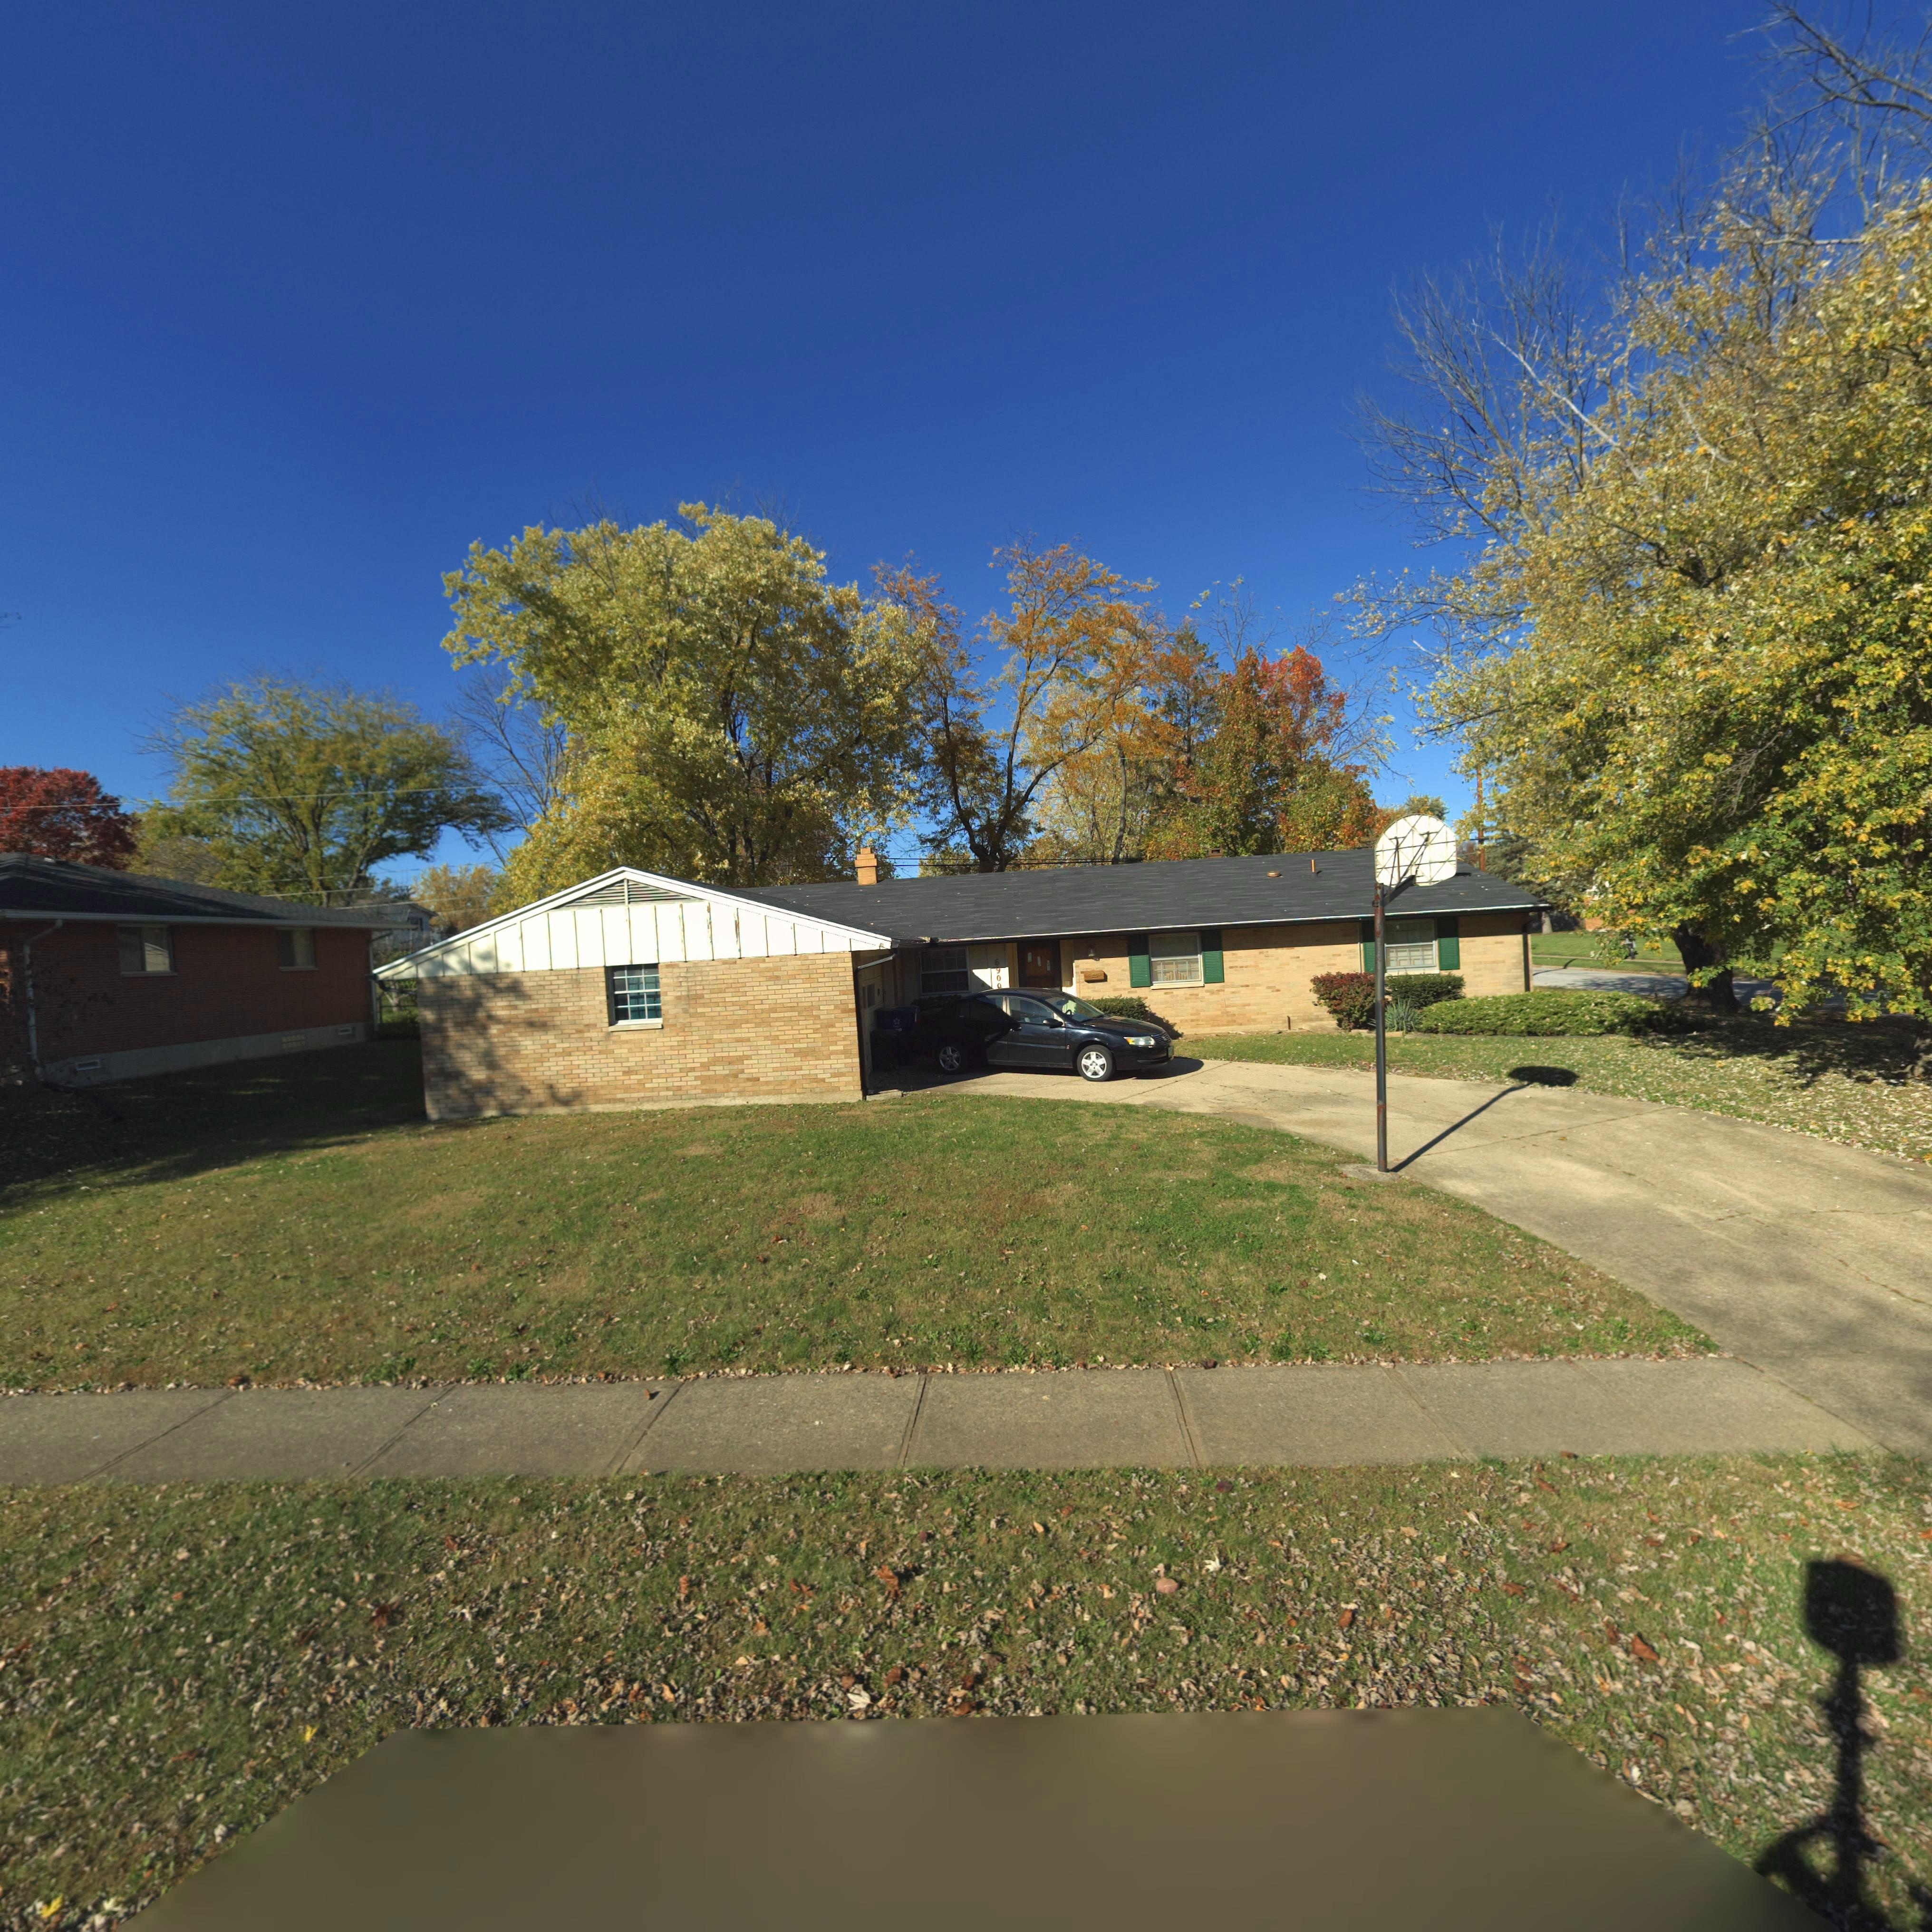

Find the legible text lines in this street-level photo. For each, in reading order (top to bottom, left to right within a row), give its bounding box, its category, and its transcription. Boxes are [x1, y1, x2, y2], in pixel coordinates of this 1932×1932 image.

[994, 957, 1002, 989] StreetNumber: 6900